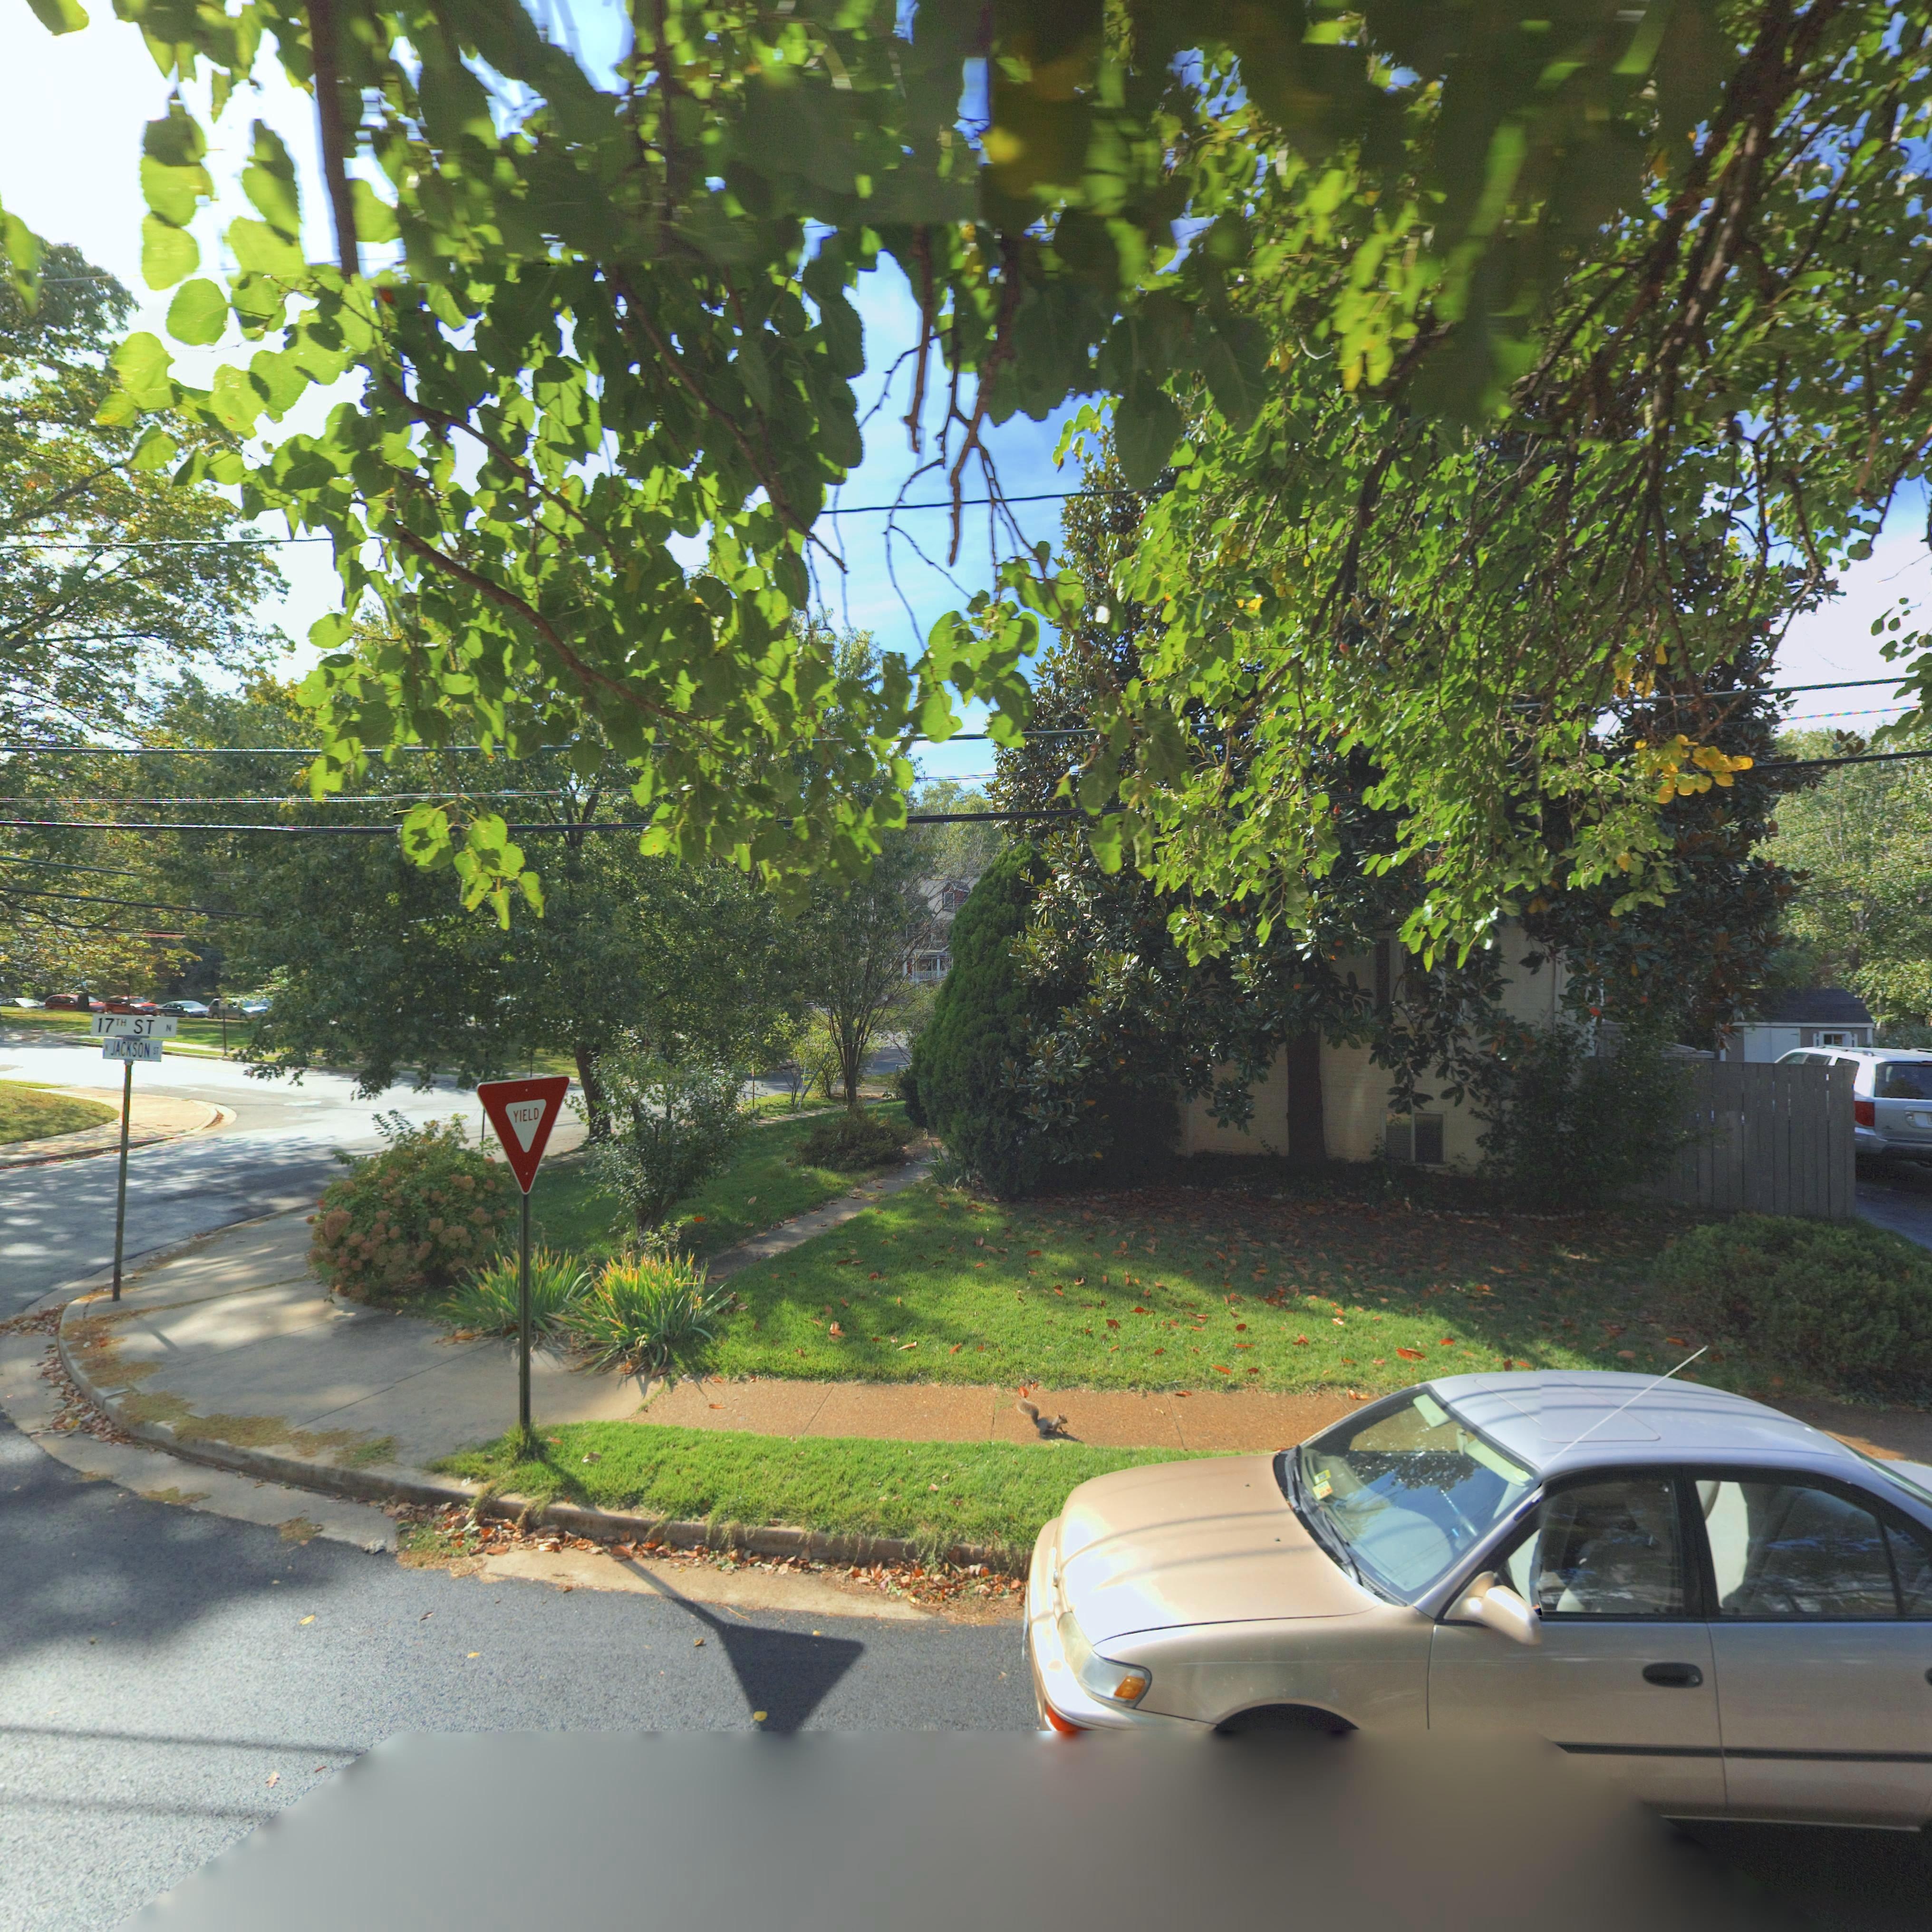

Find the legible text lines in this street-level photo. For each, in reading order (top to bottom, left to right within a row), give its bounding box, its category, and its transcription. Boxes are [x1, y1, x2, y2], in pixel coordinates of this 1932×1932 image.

[96, 1014, 174, 1037] StreetName: 17TH ST N
[104, 1038, 162, 1060] StreetName: N JACKSON ST
[511, 1106, 541, 1125] None: YIELD